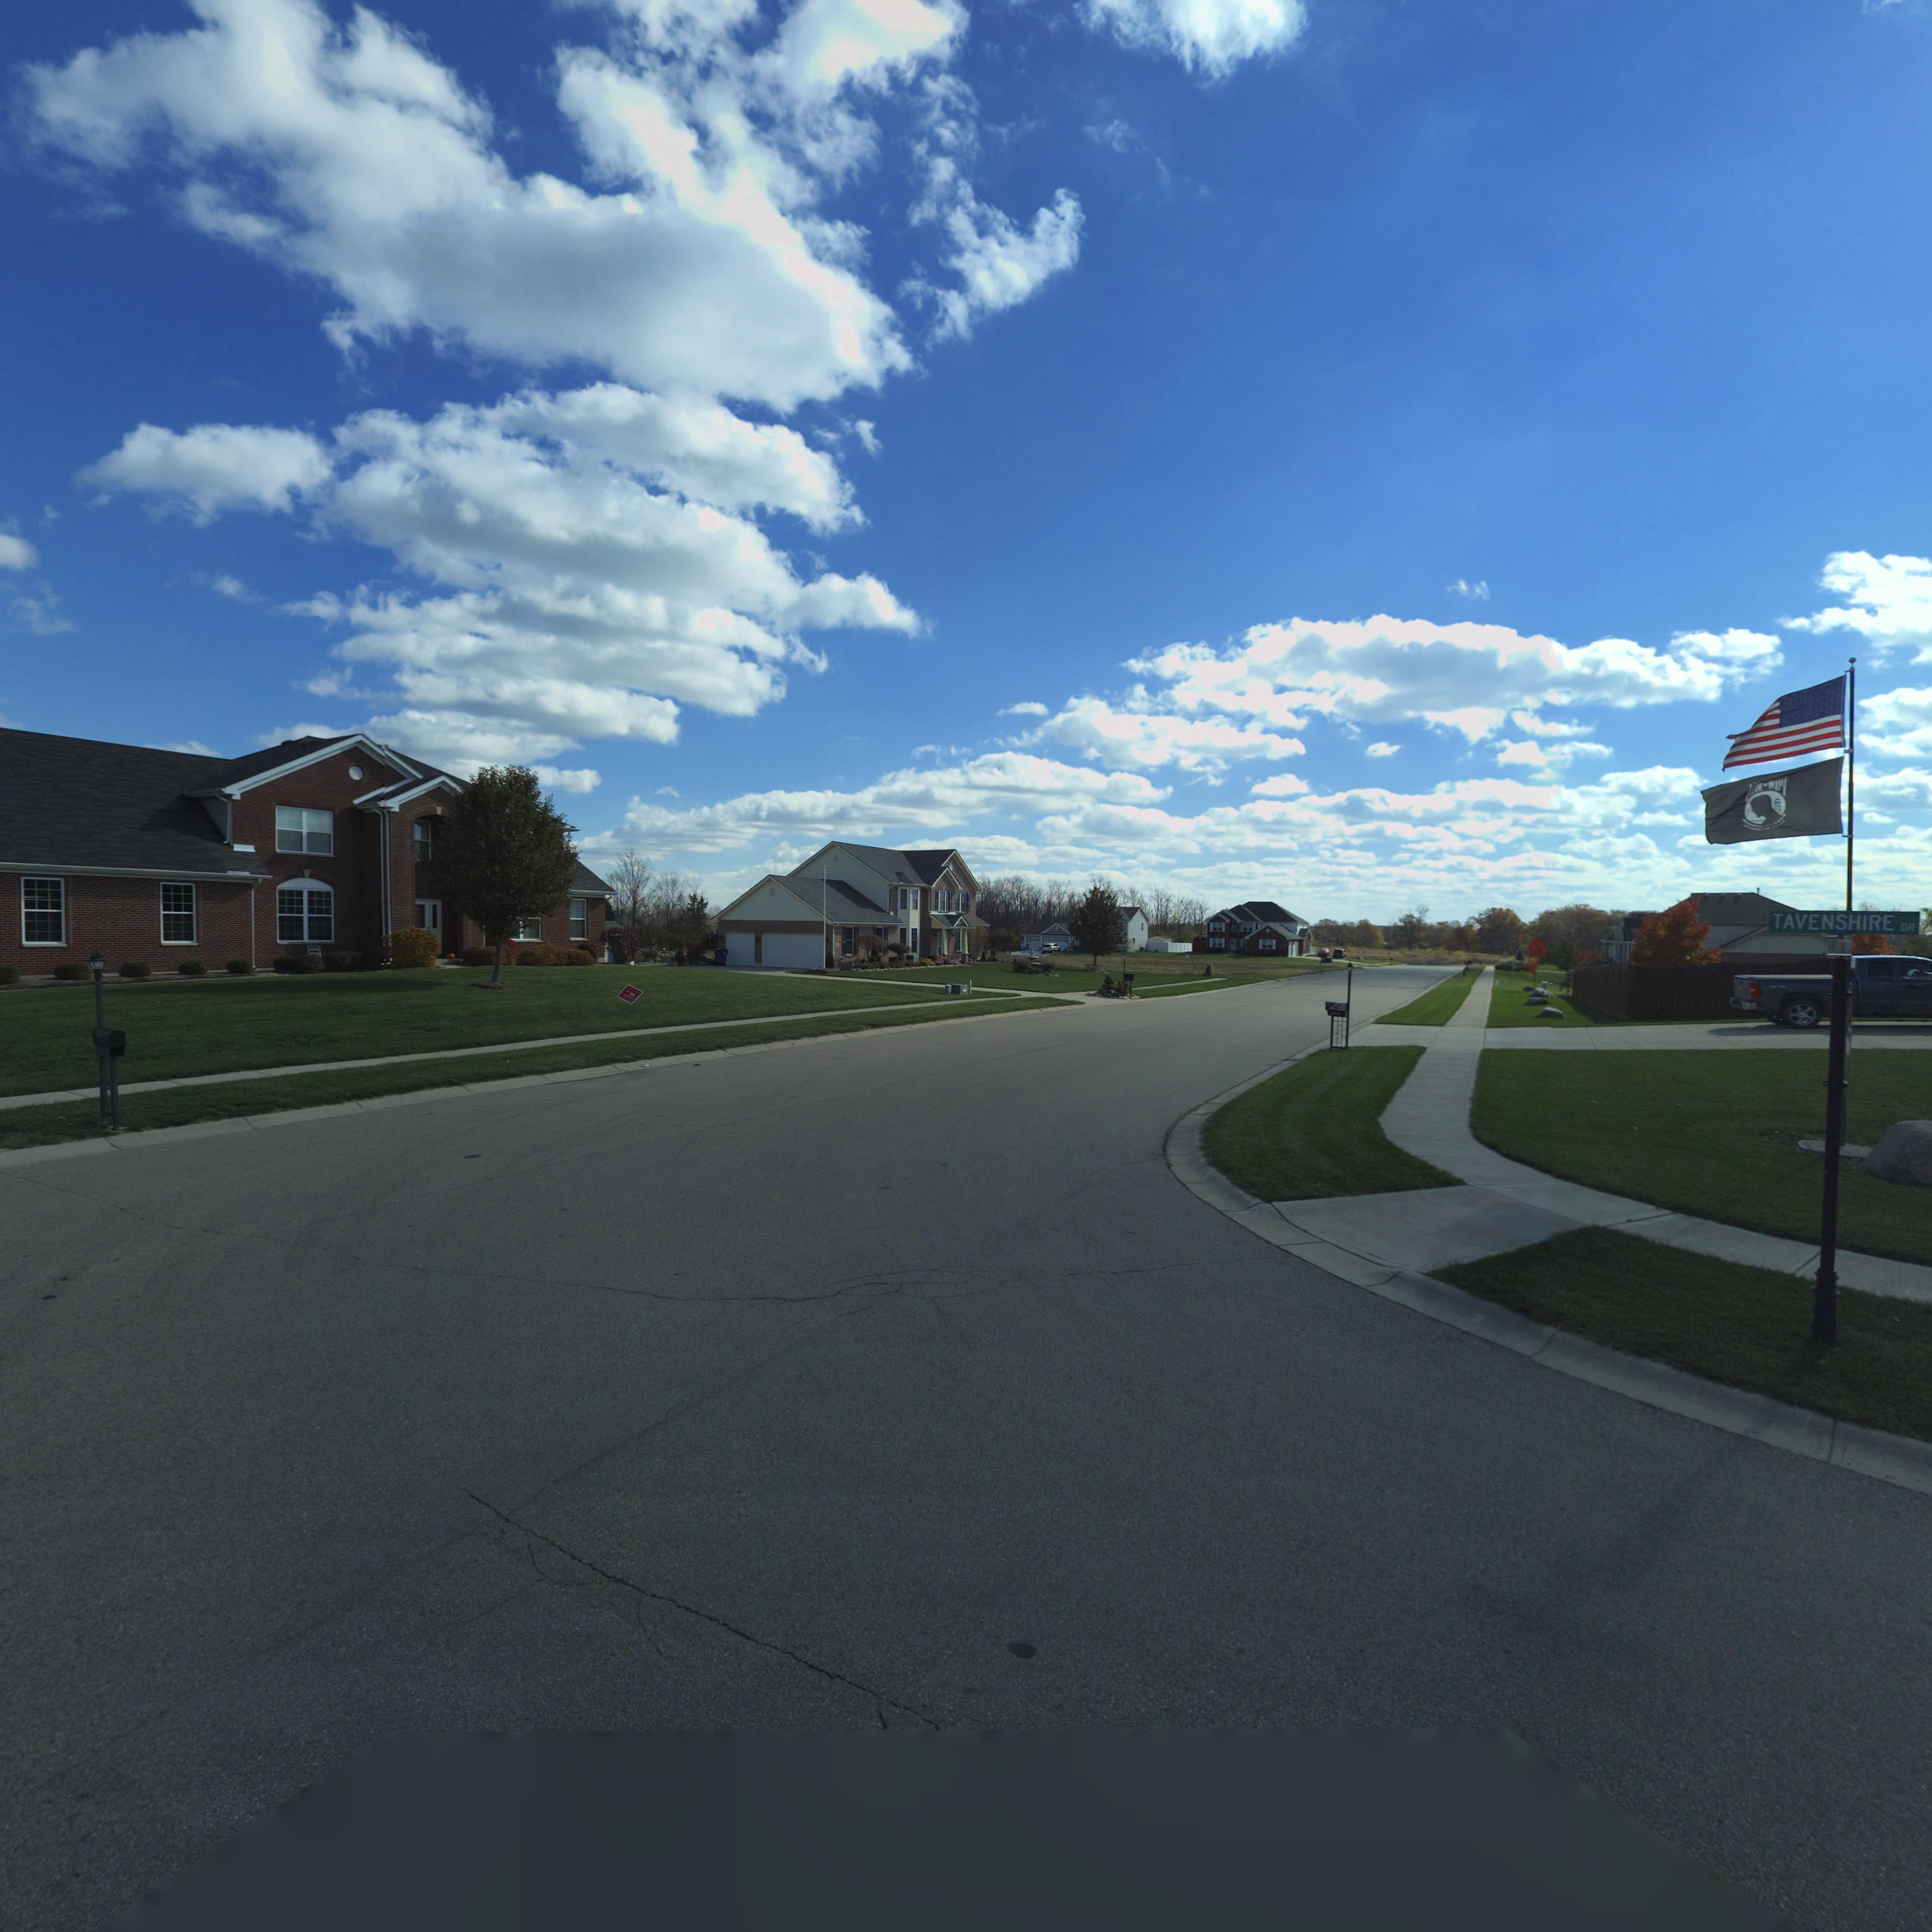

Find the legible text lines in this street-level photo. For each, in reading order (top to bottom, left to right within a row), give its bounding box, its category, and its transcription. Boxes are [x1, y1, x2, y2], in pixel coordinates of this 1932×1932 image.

[1772, 913, 1917, 934] StreetName: TAVENSHIRE DR